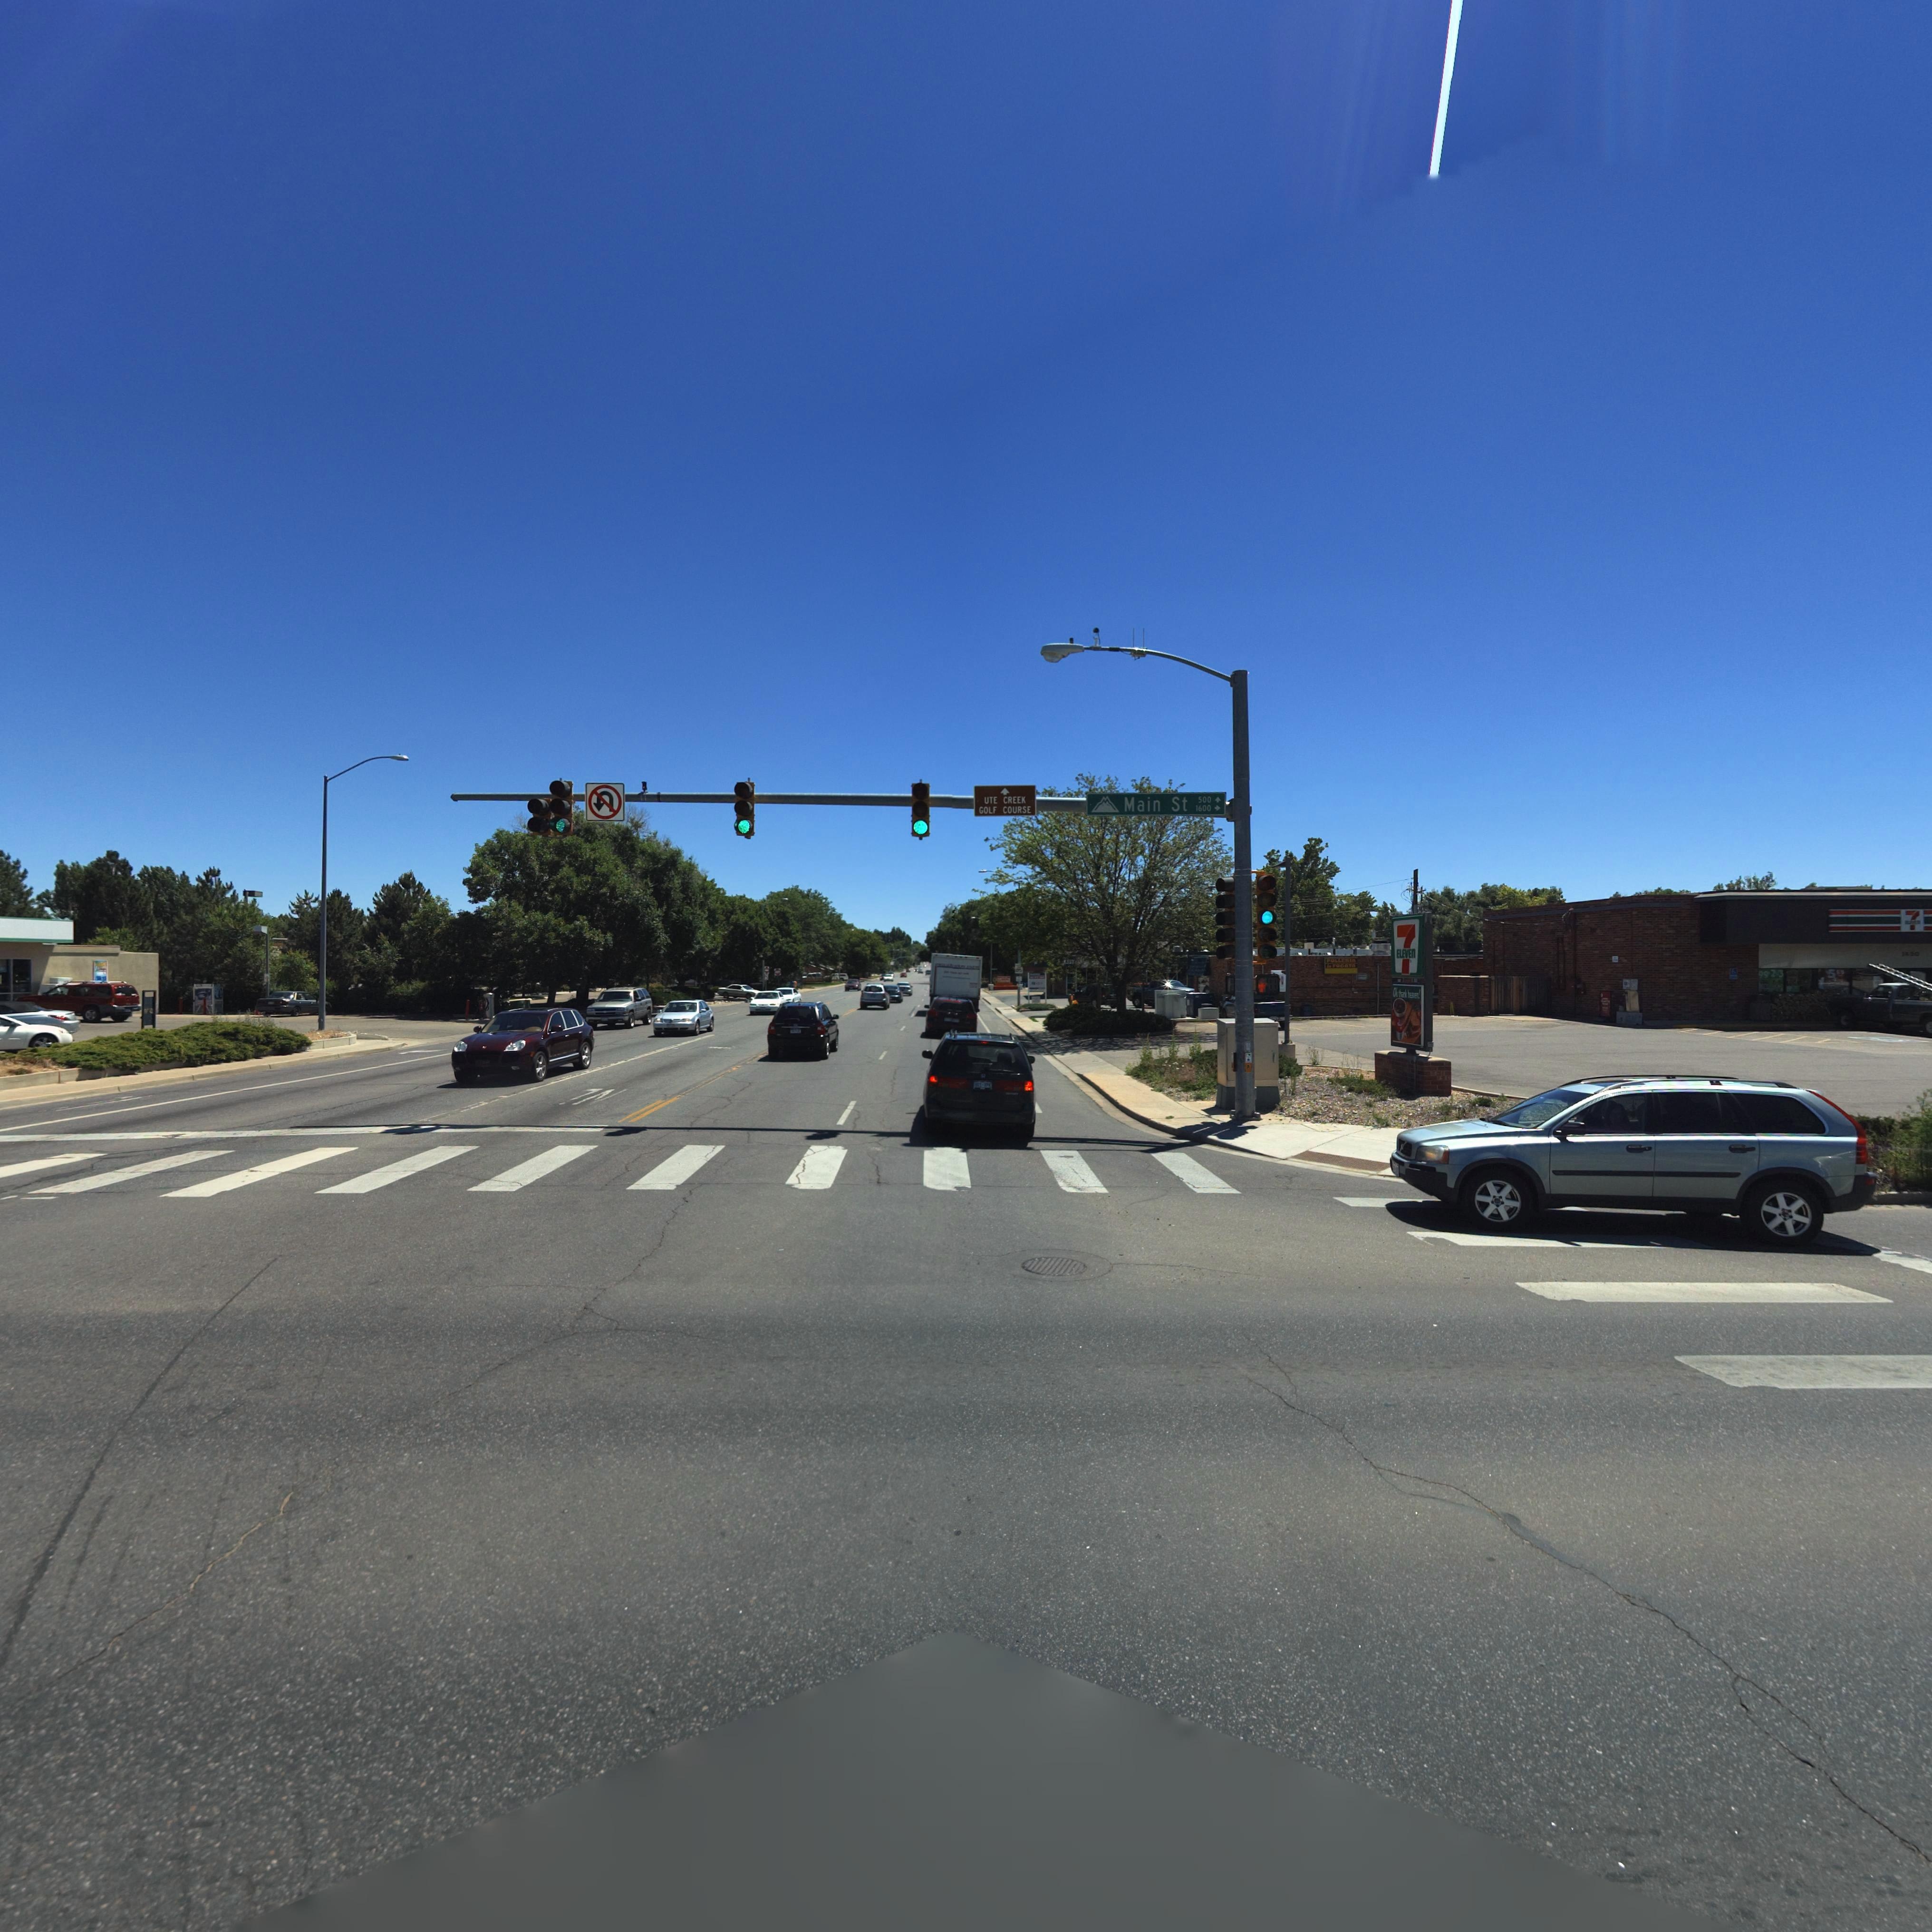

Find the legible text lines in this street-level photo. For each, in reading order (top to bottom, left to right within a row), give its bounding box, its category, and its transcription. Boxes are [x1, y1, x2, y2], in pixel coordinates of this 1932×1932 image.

[1124, 796, 1188, 812] StreetName: Main St
[1198, 796, 1211, 803] StreetNumberRange: 500
[1195, 804, 1221, 811] StreetNumberRange: 1600->
[1904, 910, 1920, 930] BusinessName: 7
[1396, 948, 1416, 959] BusinessName: ELEVEN
[1396, 923, 1416, 975] BusinessName: 7
[1902, 951, 1920, 957] StreetNumber: 1**0
[1326, 963, 1356, 968] BusinessName: la FOGATA